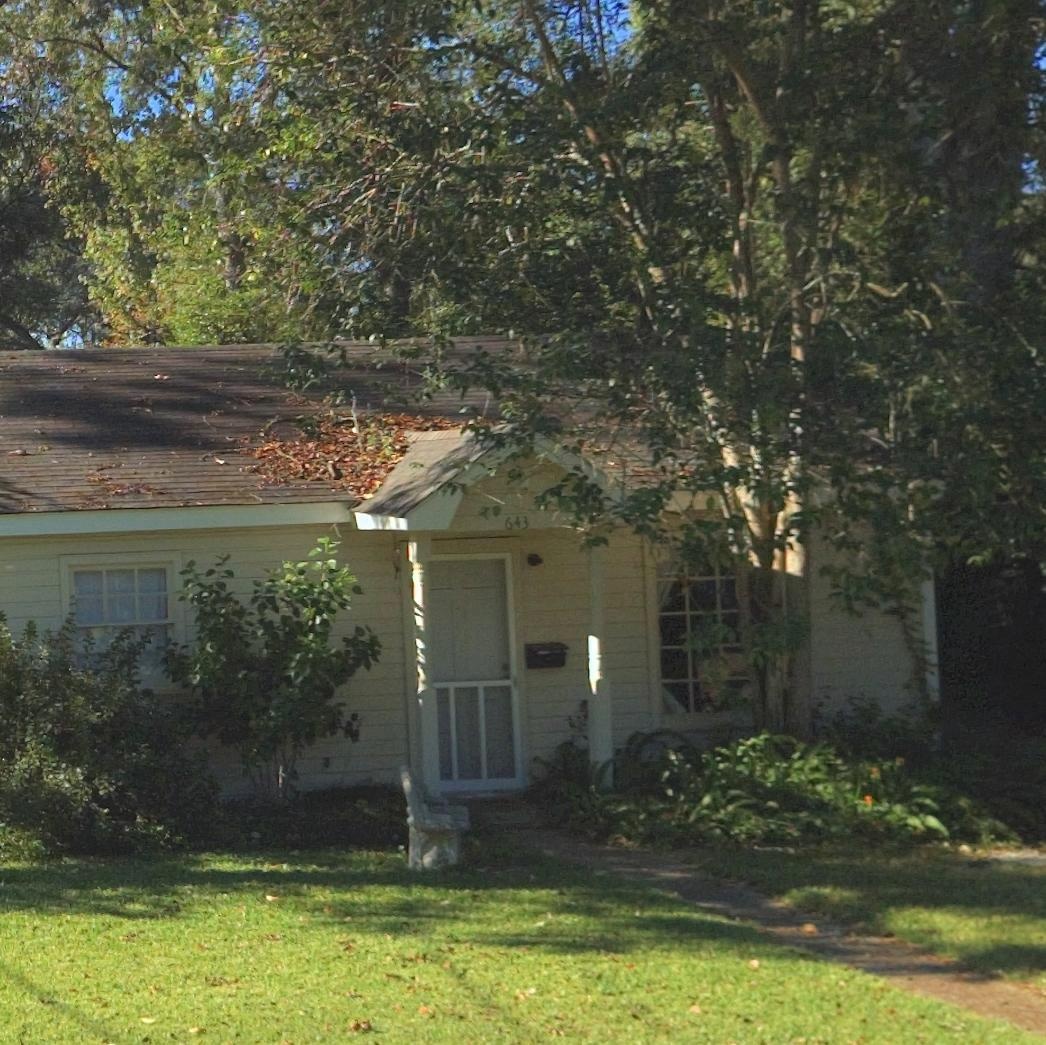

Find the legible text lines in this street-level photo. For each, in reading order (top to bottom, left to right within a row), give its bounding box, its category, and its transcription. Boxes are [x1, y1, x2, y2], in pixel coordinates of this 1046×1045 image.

[502, 513, 531, 533] StreetNumber: 643